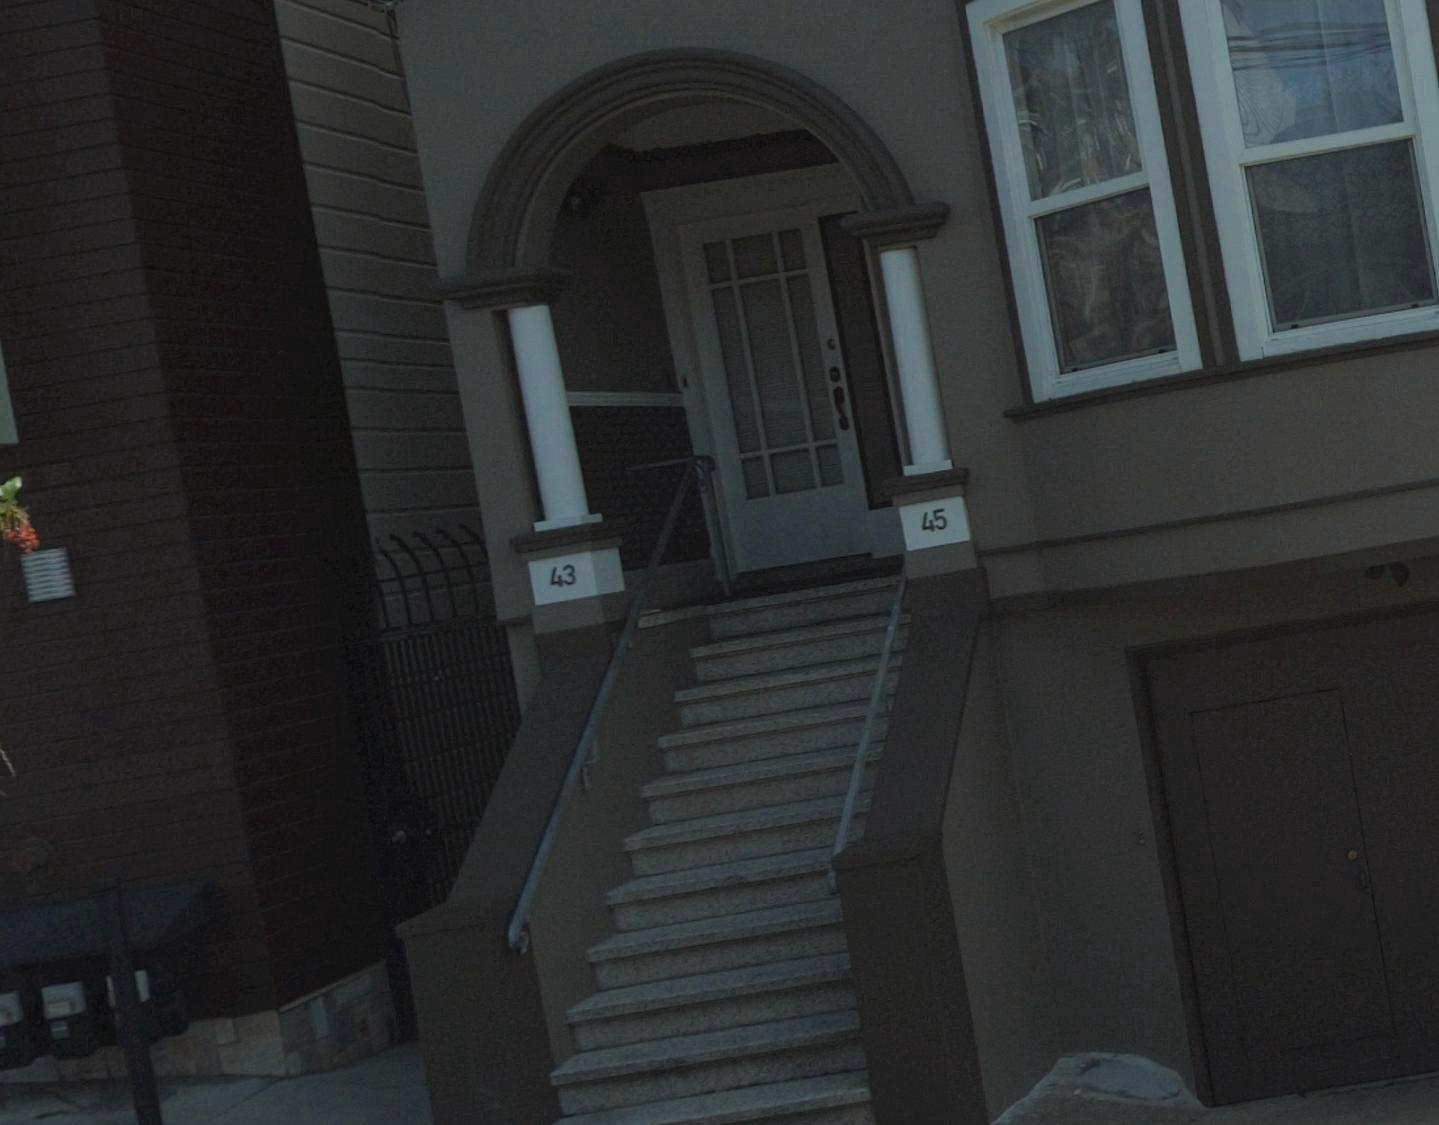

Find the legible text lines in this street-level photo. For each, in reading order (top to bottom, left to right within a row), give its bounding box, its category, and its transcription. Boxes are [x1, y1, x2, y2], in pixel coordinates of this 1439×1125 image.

[919, 506, 950, 536] StreetNumber: 45
[547, 560, 579, 590] StreetNumber: 43